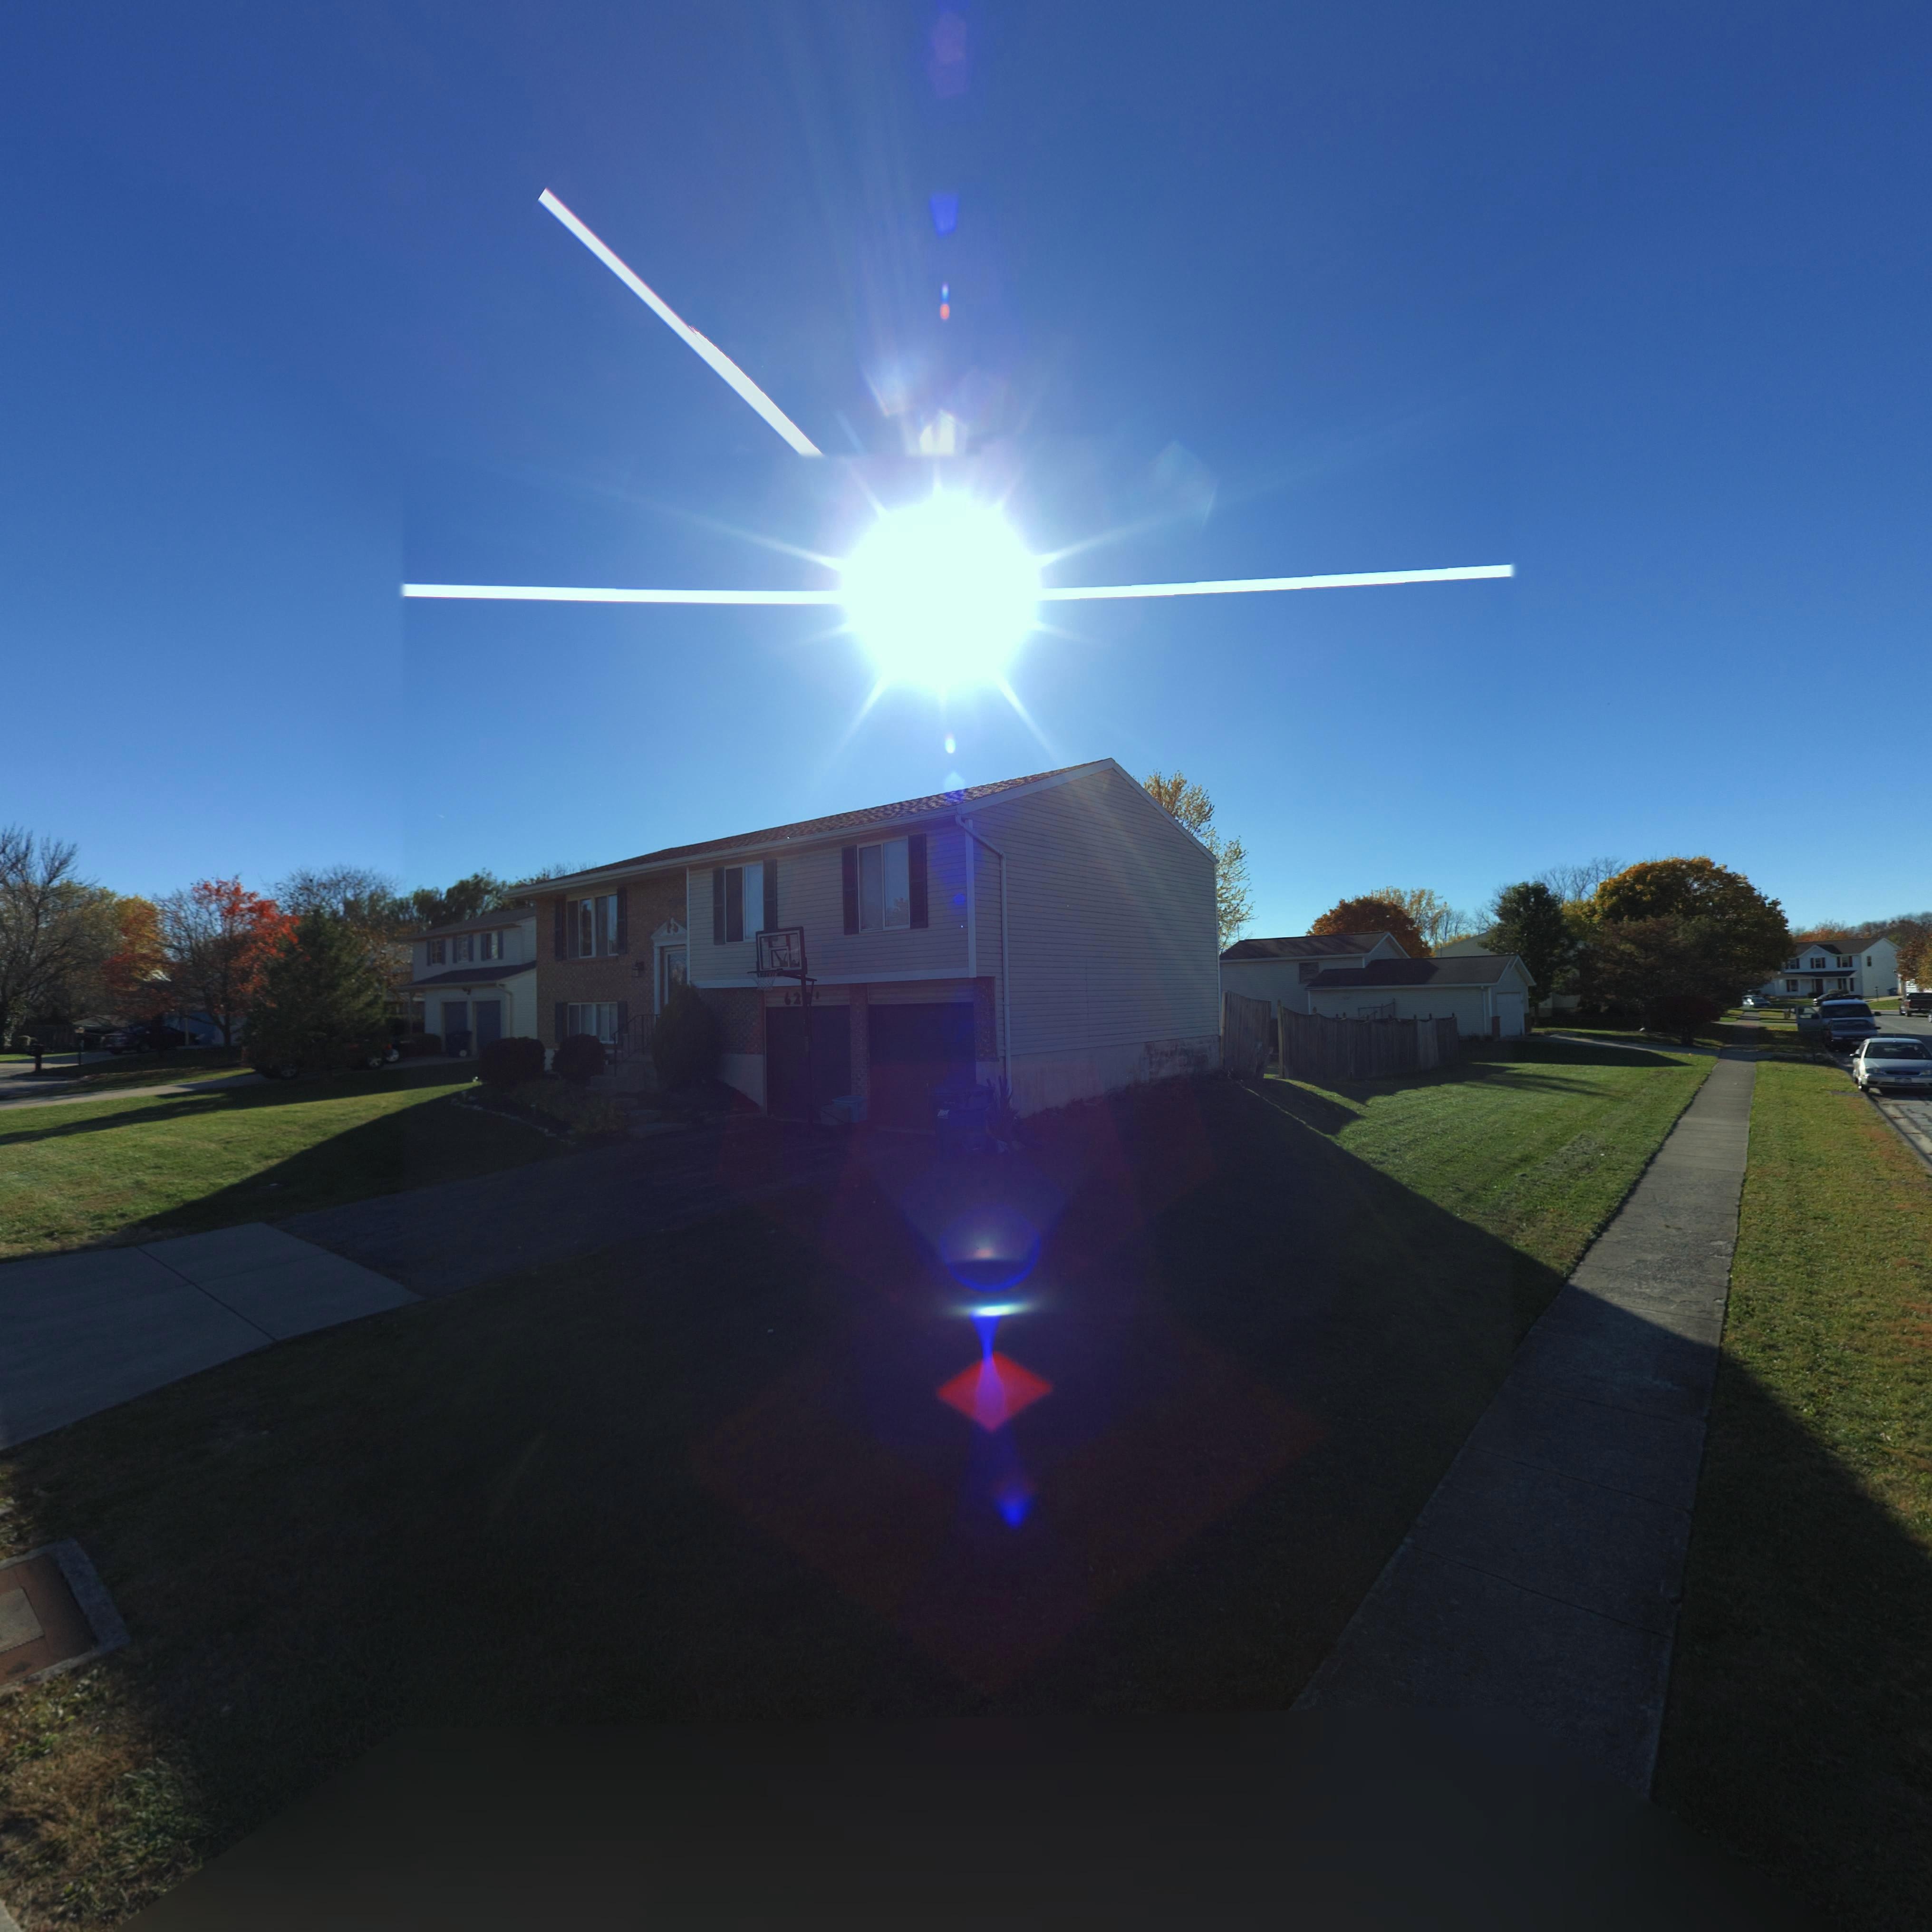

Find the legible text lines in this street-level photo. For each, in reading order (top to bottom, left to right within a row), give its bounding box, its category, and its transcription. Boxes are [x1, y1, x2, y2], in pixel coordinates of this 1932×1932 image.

[783, 990, 820, 1006] StreetNumber: 62**